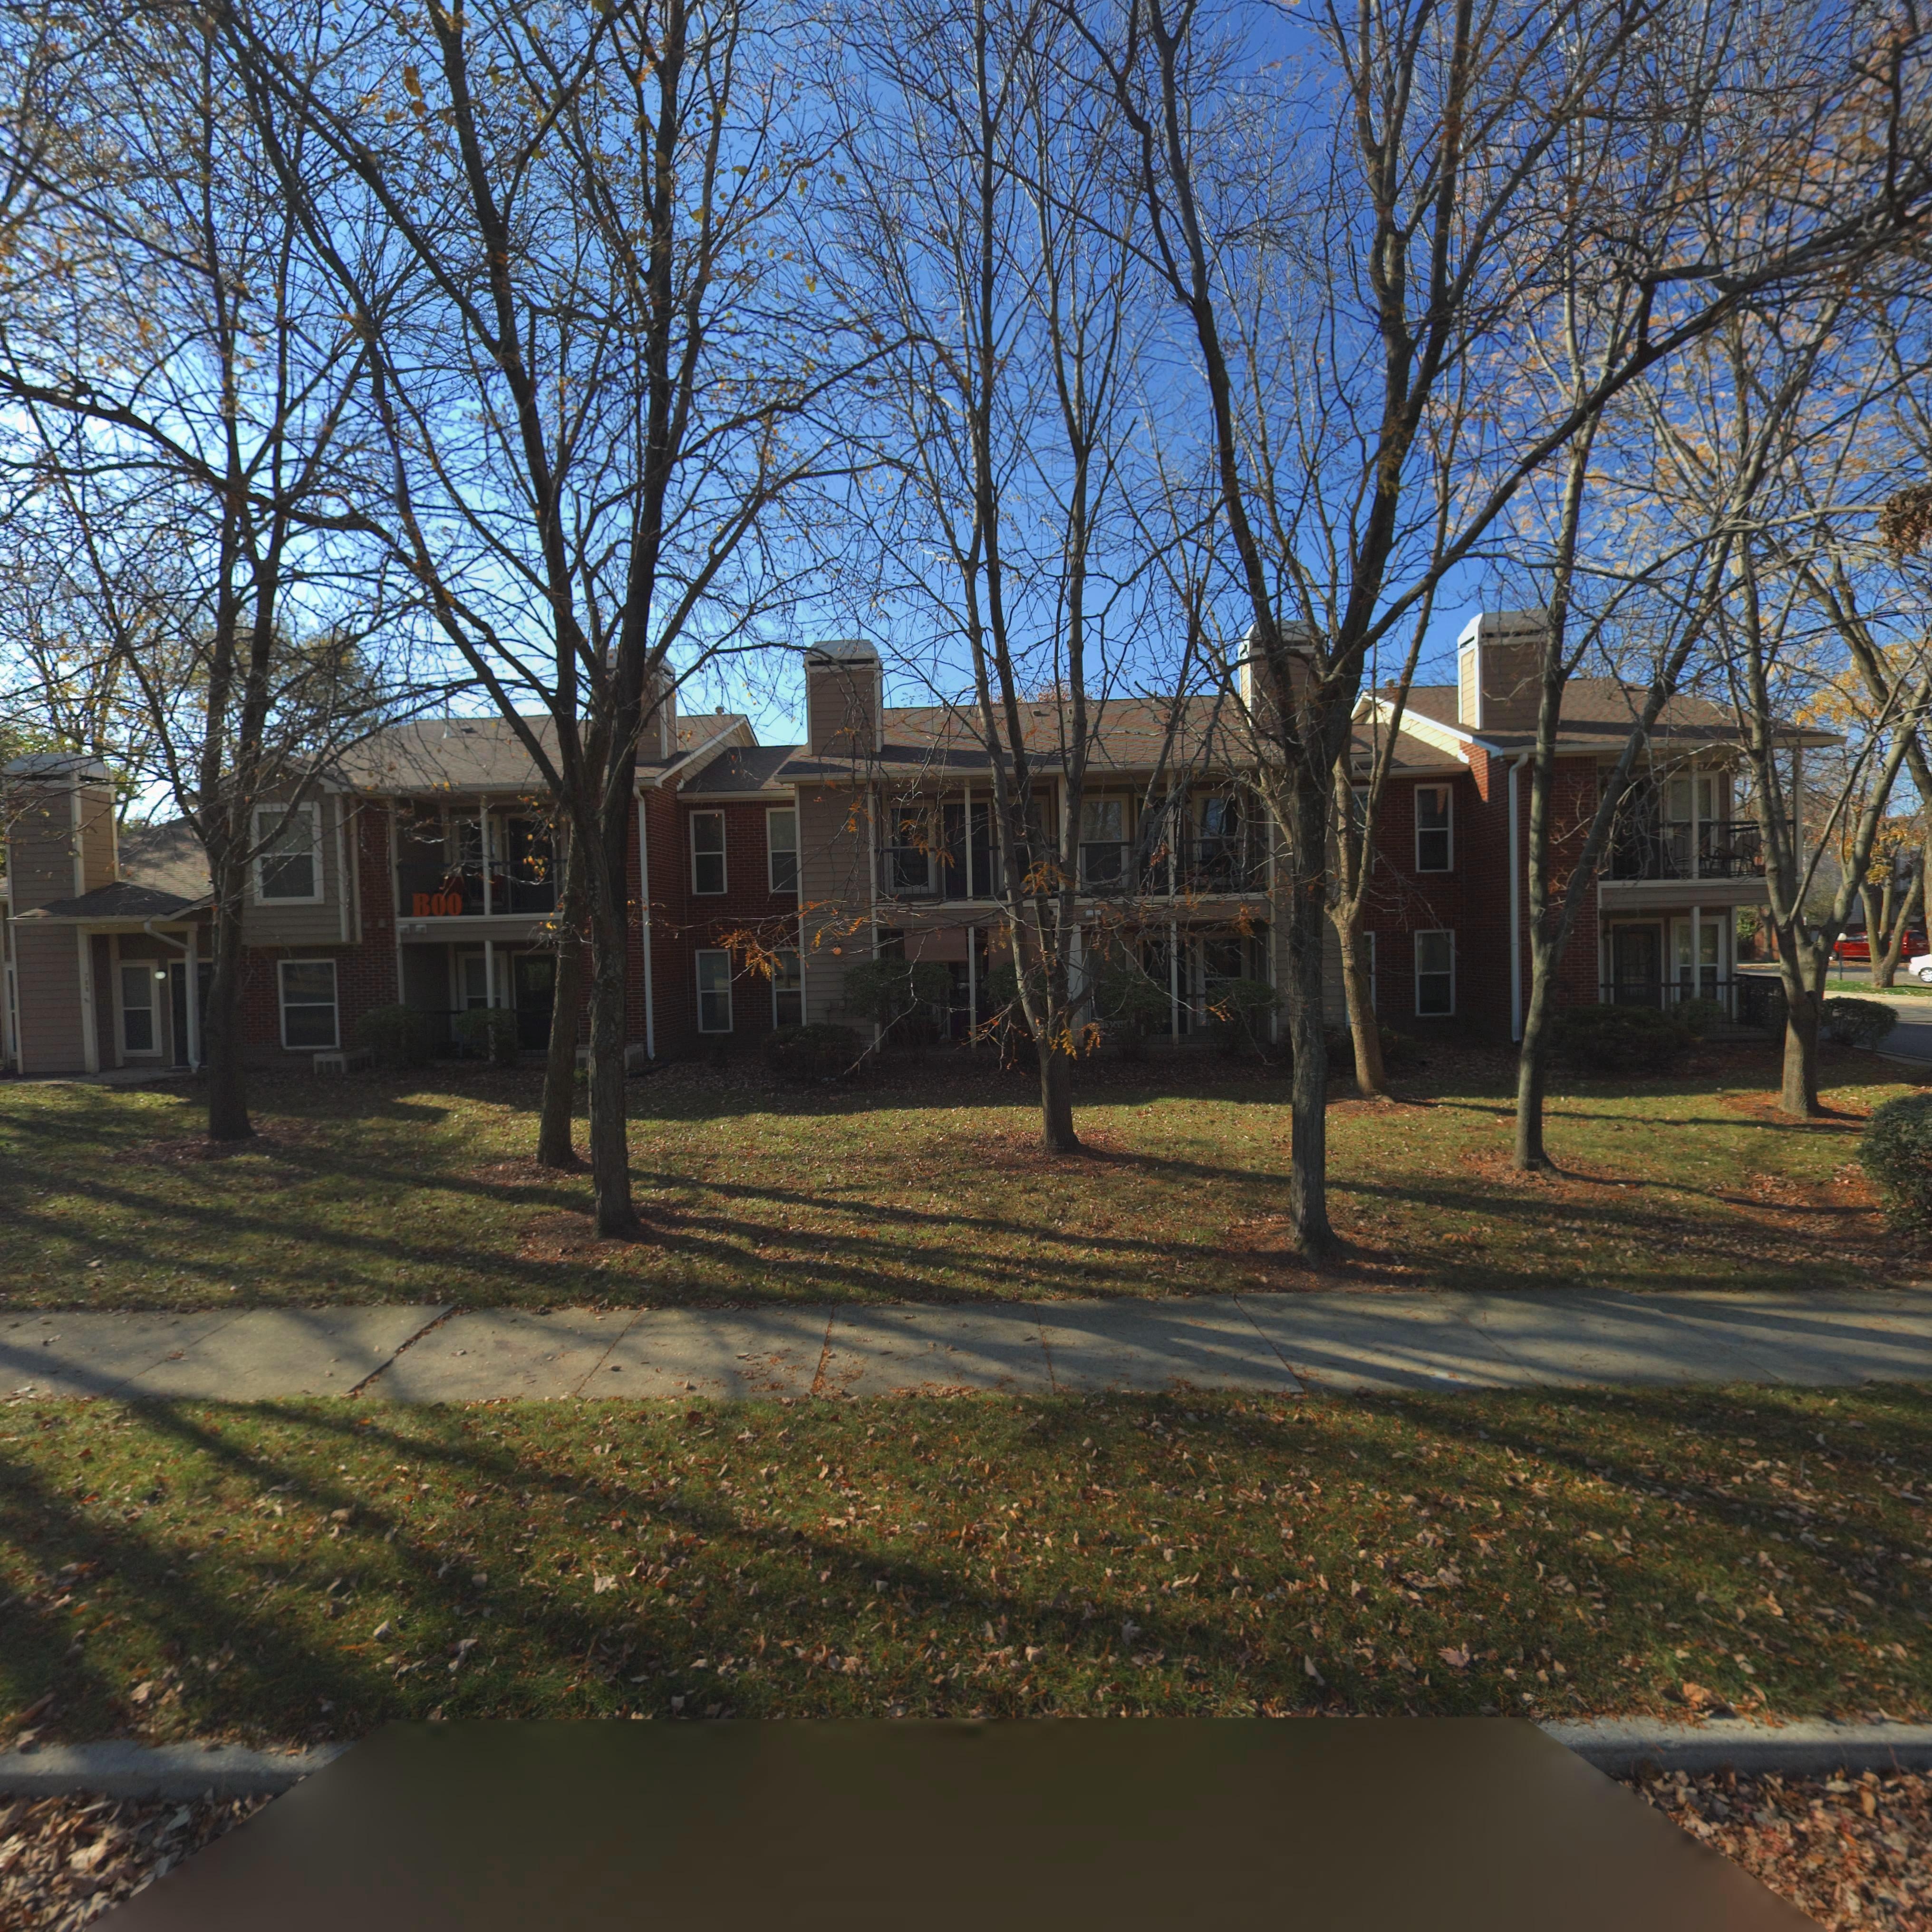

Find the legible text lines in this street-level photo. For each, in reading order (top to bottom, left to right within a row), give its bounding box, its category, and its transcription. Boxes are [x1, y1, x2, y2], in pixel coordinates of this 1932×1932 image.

[411, 893, 464, 917] None: BOO
[84, 973, 90, 992] StreetNumber: 7*8